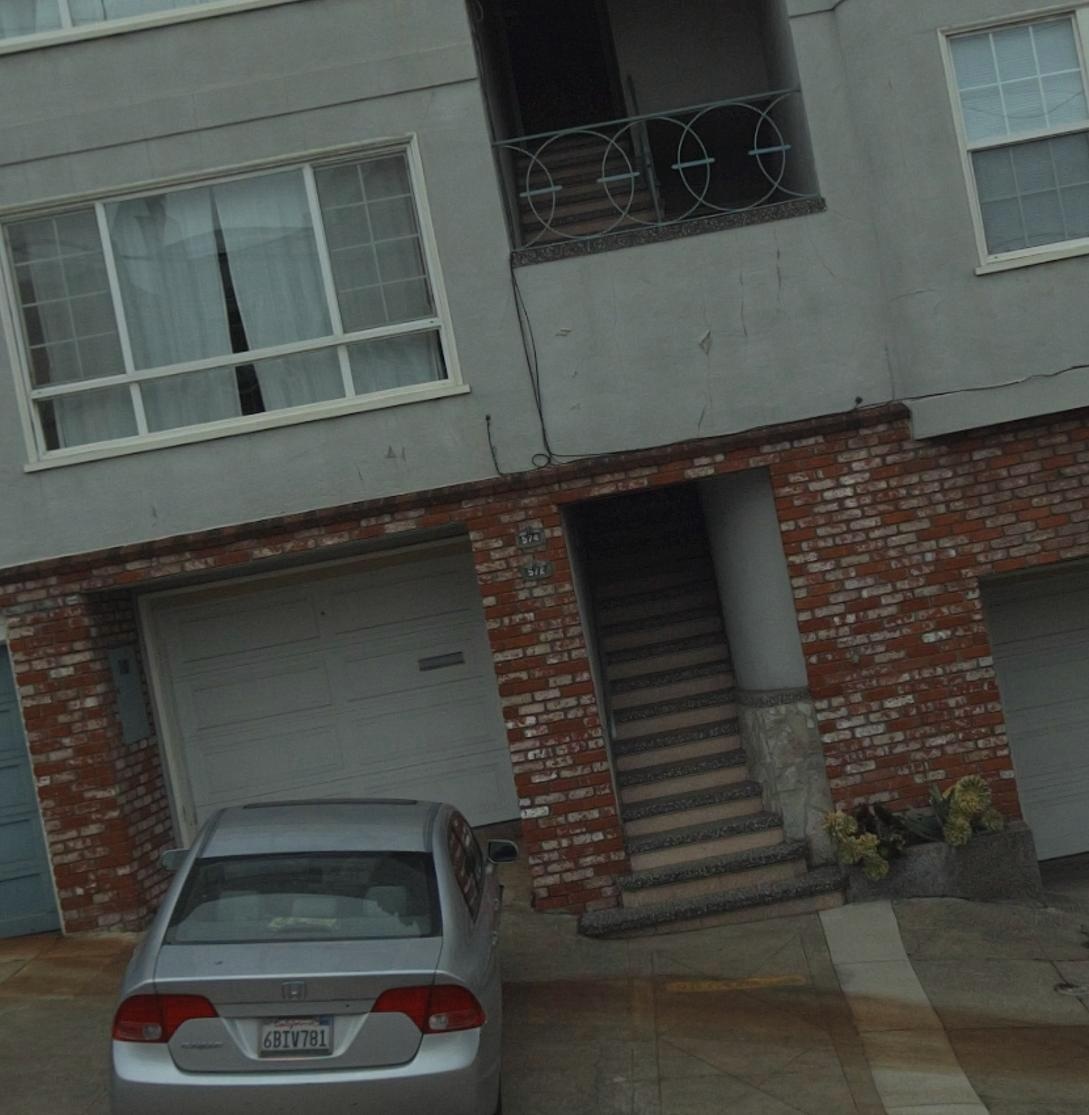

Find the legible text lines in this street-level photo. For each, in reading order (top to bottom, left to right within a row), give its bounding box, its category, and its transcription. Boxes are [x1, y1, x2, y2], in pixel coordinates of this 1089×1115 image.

[521, 532, 541, 545] StreetNumber: 574
[526, 566, 548, 578] StreetNumber: 572
[262, 1028, 329, 1049] None: 6BIV781